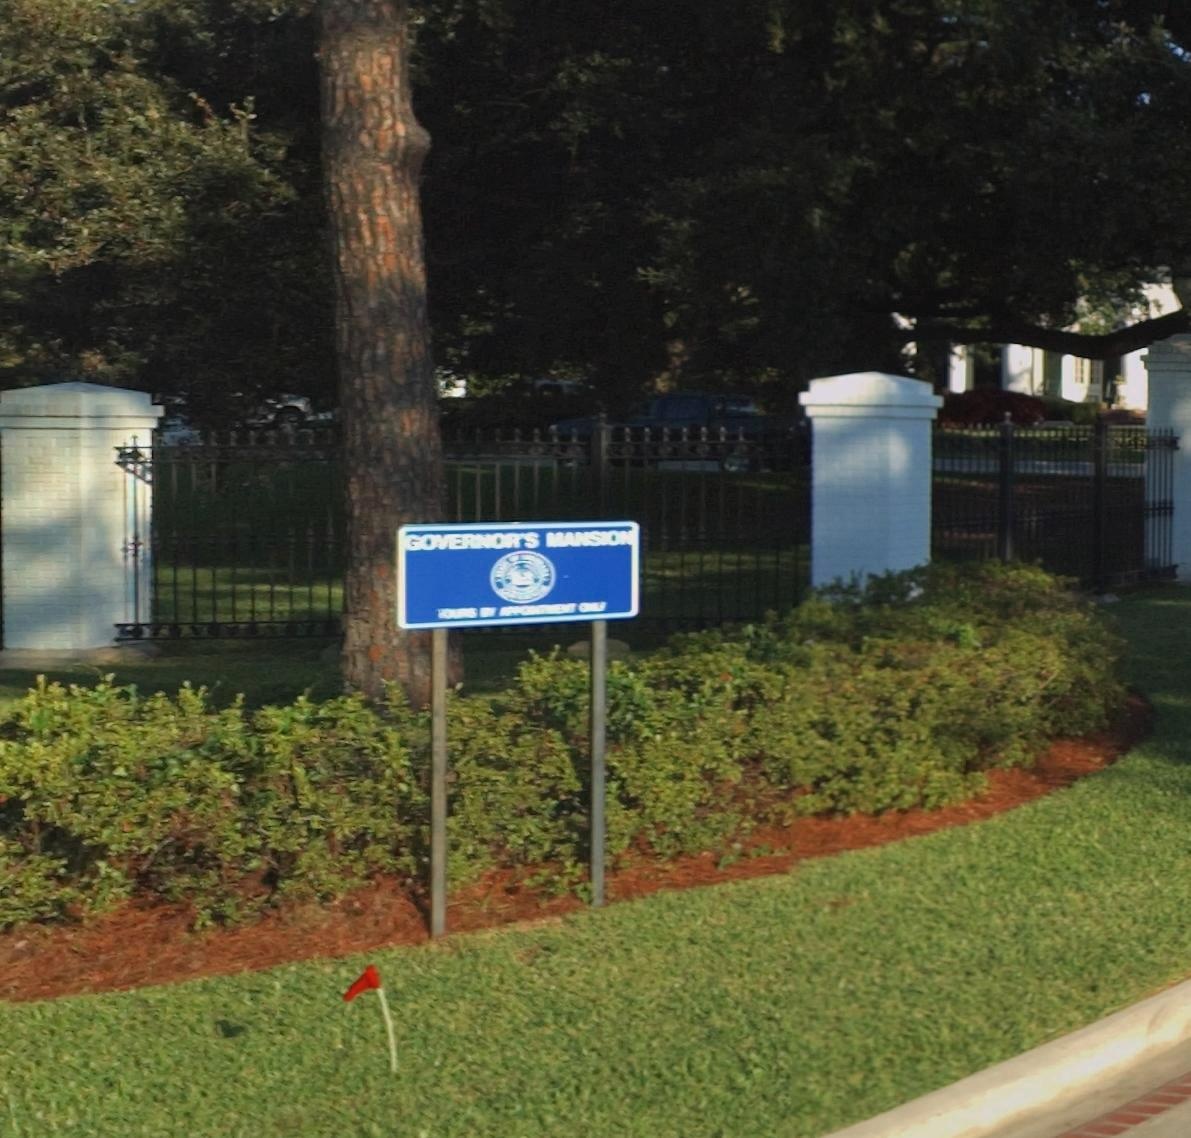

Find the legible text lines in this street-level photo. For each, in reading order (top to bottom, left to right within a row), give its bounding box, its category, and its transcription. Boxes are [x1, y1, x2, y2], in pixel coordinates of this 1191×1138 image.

[402, 528, 638, 553] BusinessName: GOVERNOR'S MANSION